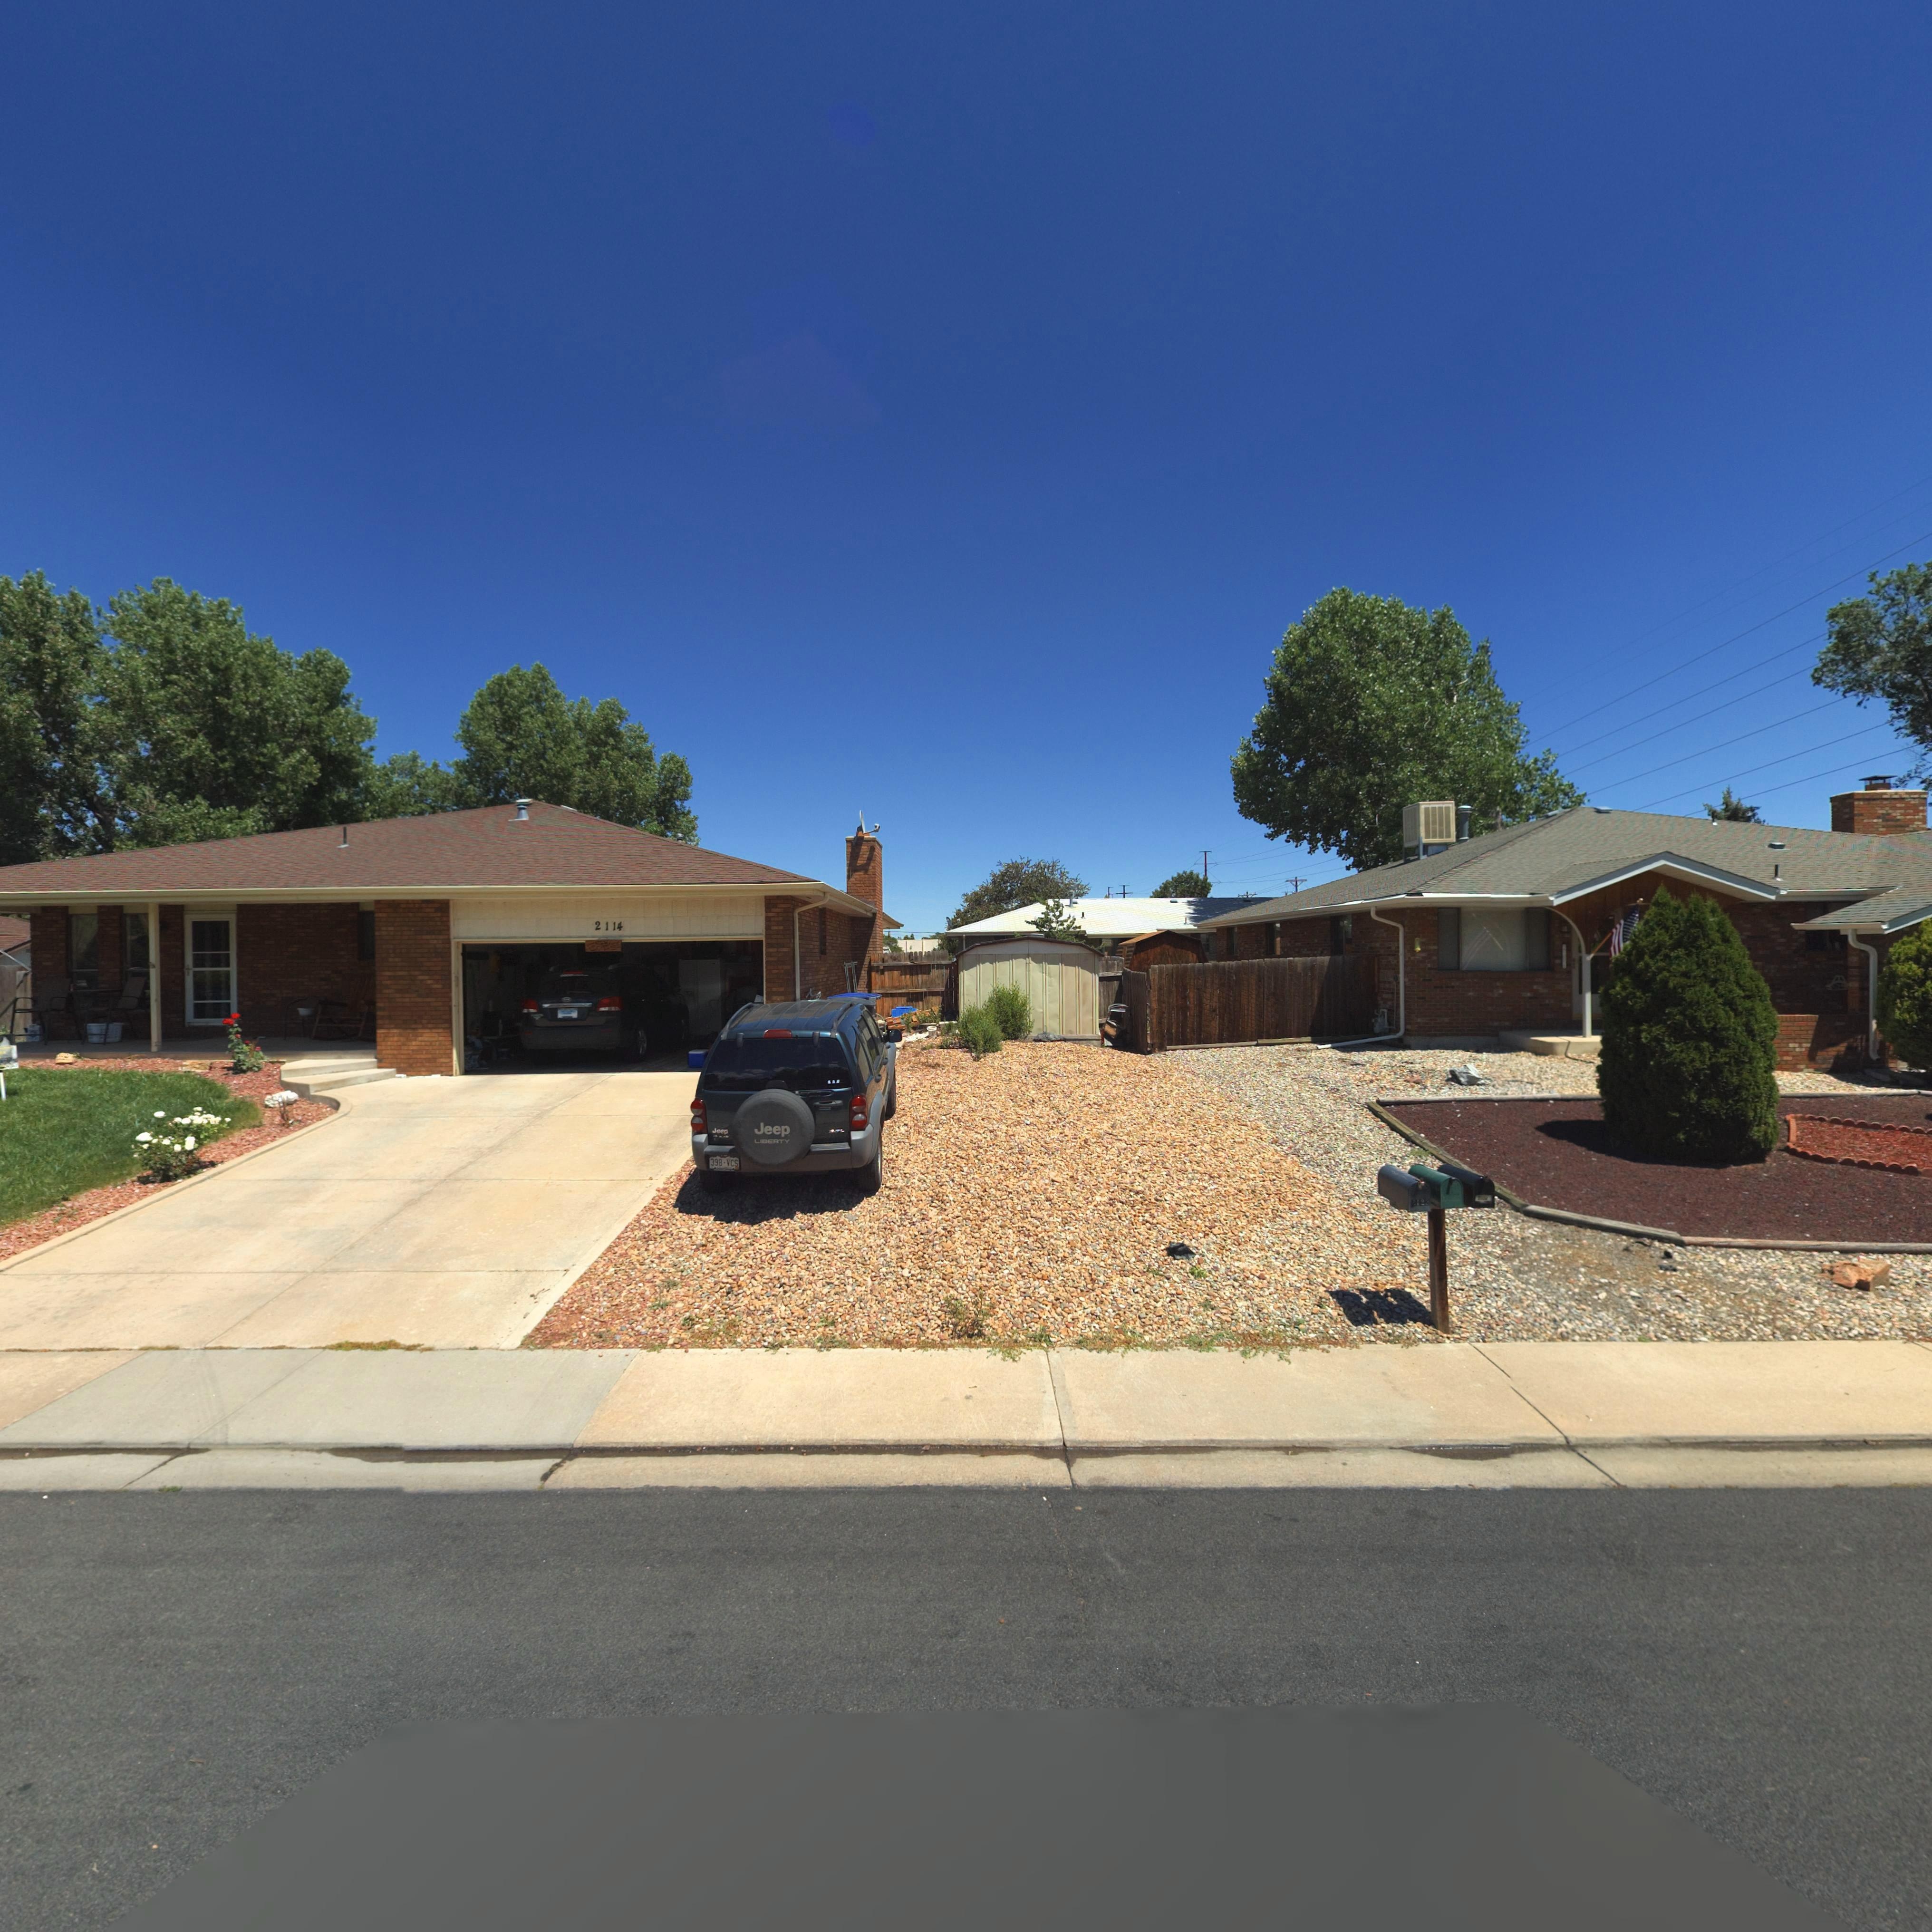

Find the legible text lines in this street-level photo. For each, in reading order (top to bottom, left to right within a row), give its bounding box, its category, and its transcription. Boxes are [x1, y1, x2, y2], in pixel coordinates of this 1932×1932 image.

[595, 920, 624, 931] StreetNumber: 2114
[1411, 1198, 1430, 1206] StreetNumber: 2122